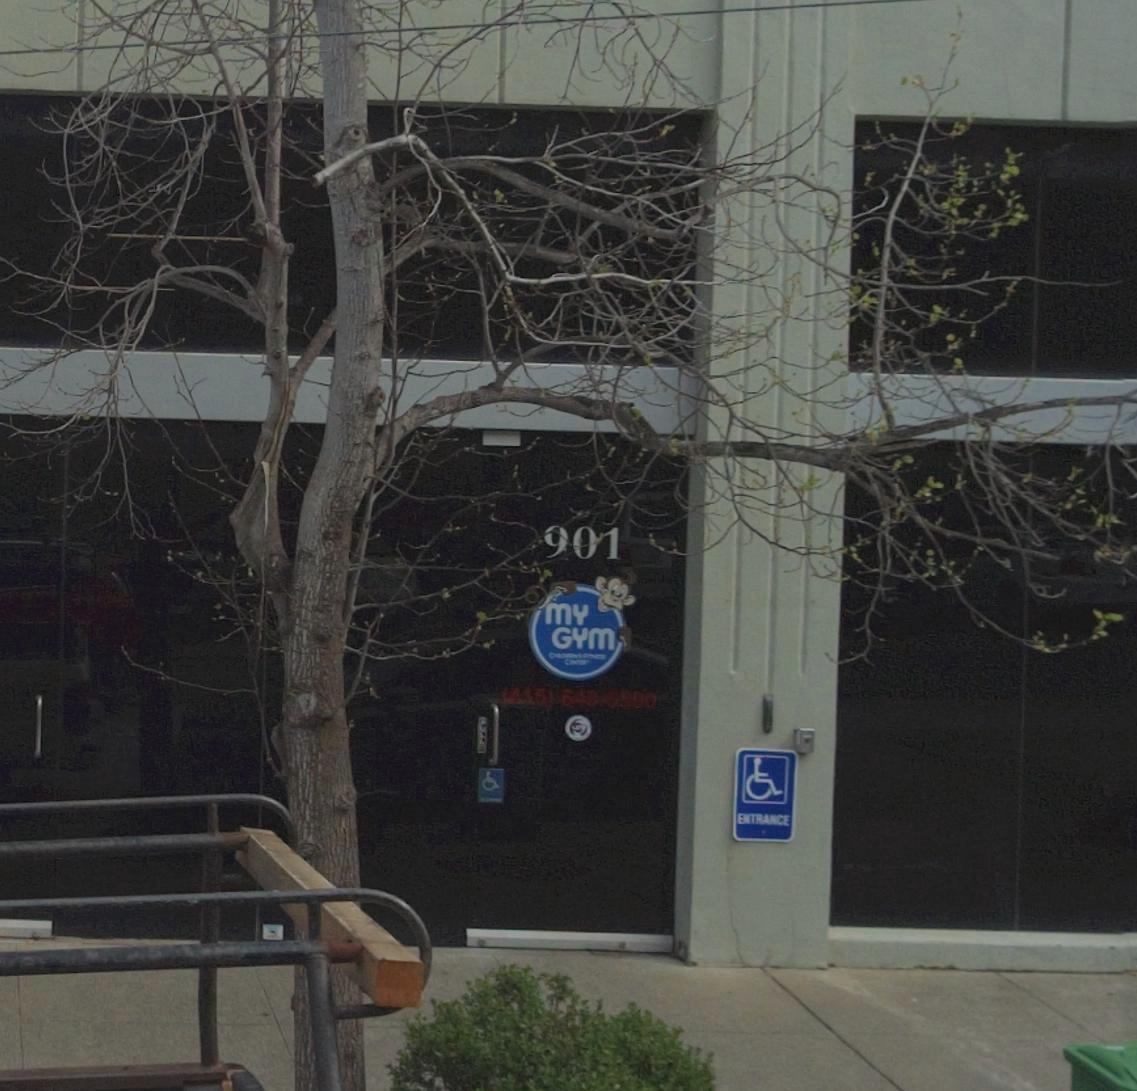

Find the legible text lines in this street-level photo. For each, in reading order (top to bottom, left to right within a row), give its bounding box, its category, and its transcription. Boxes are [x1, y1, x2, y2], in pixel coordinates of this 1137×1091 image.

[540, 523, 625, 563] StreetNumber: 901
[540, 600, 591, 627] BusinessName: MY
[548, 625, 616, 651] BusinessName: GYM
[506, 683, 660, 713] None: 415) 643-5800
[478, 717, 487, 747] None: PULL
[735, 811, 792, 828] None: ENTRANCE